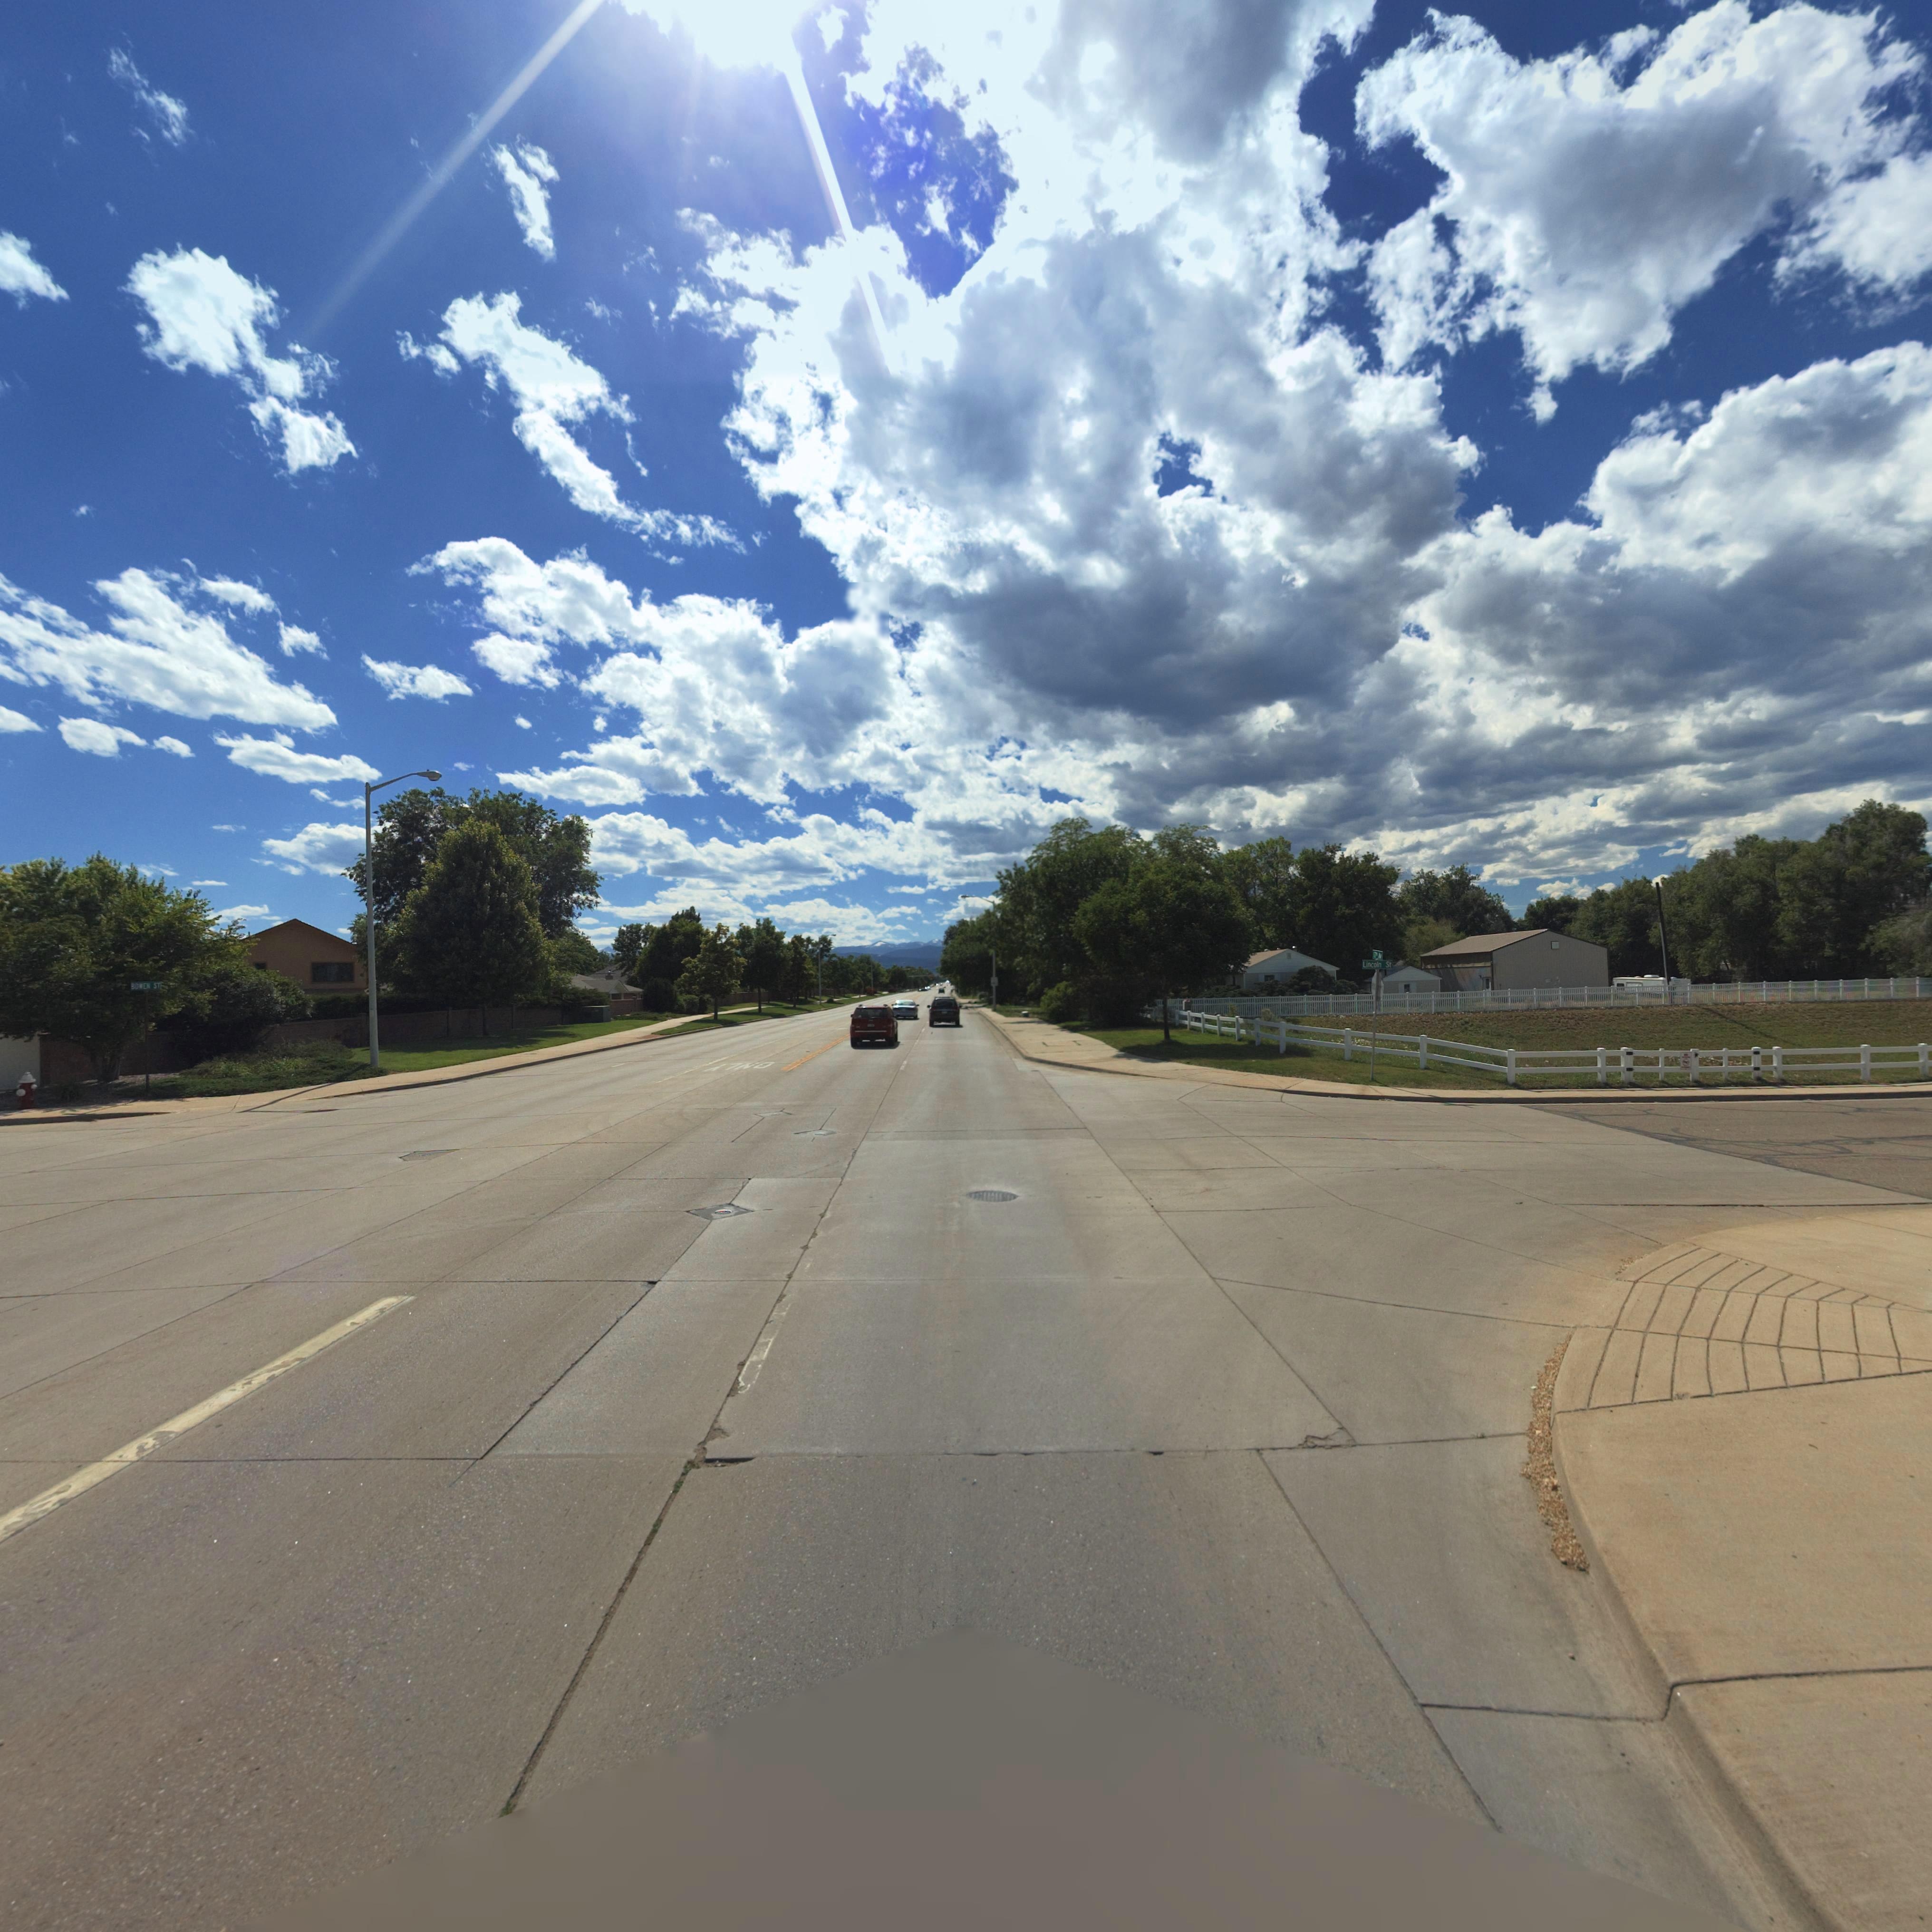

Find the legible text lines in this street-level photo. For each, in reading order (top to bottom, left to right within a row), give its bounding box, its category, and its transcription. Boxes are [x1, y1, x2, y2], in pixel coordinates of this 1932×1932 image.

[1373, 951, 1382, 959] StreetName: 17th Ave
[1362, 960, 1392, 968] StreetName: Lincoln St
[131, 982, 160, 989] StreetName: BOWEN ST